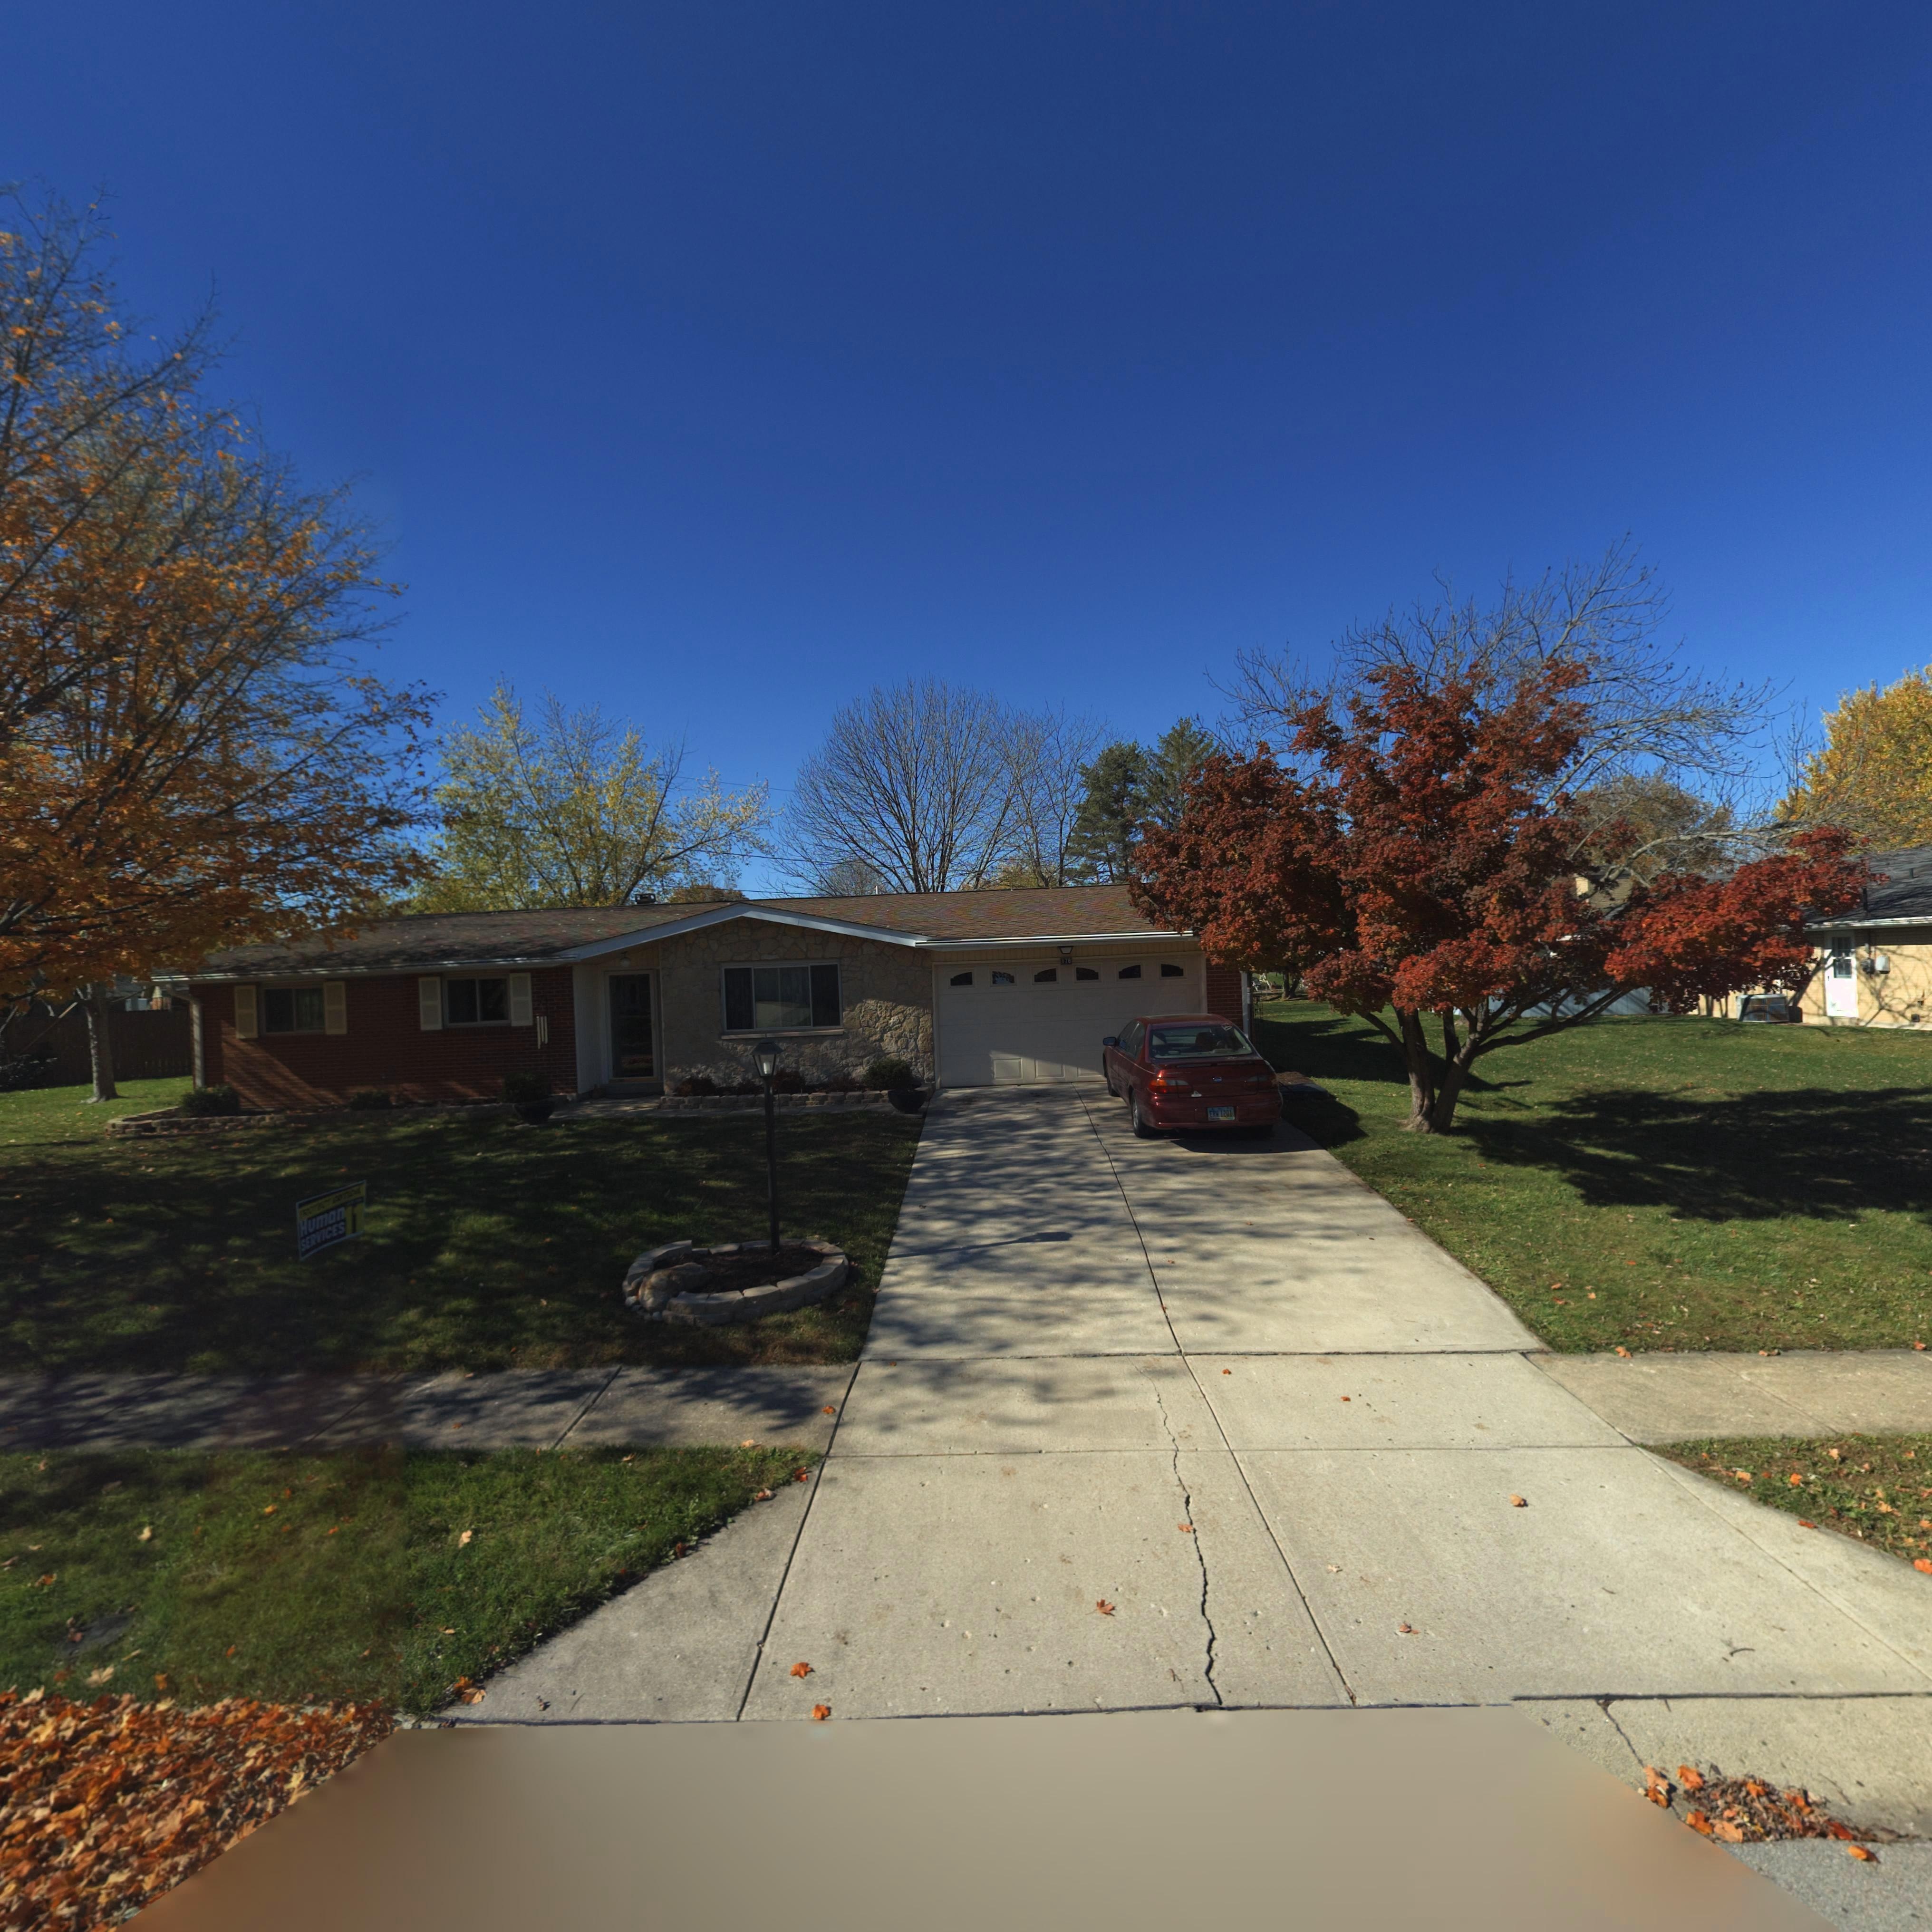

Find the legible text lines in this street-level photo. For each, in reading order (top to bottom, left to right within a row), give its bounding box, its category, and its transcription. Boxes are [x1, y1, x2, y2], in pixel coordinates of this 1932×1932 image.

[1061, 957, 1072, 965] StreetNumber: 178
[299, 1206, 346, 1239] None: Human